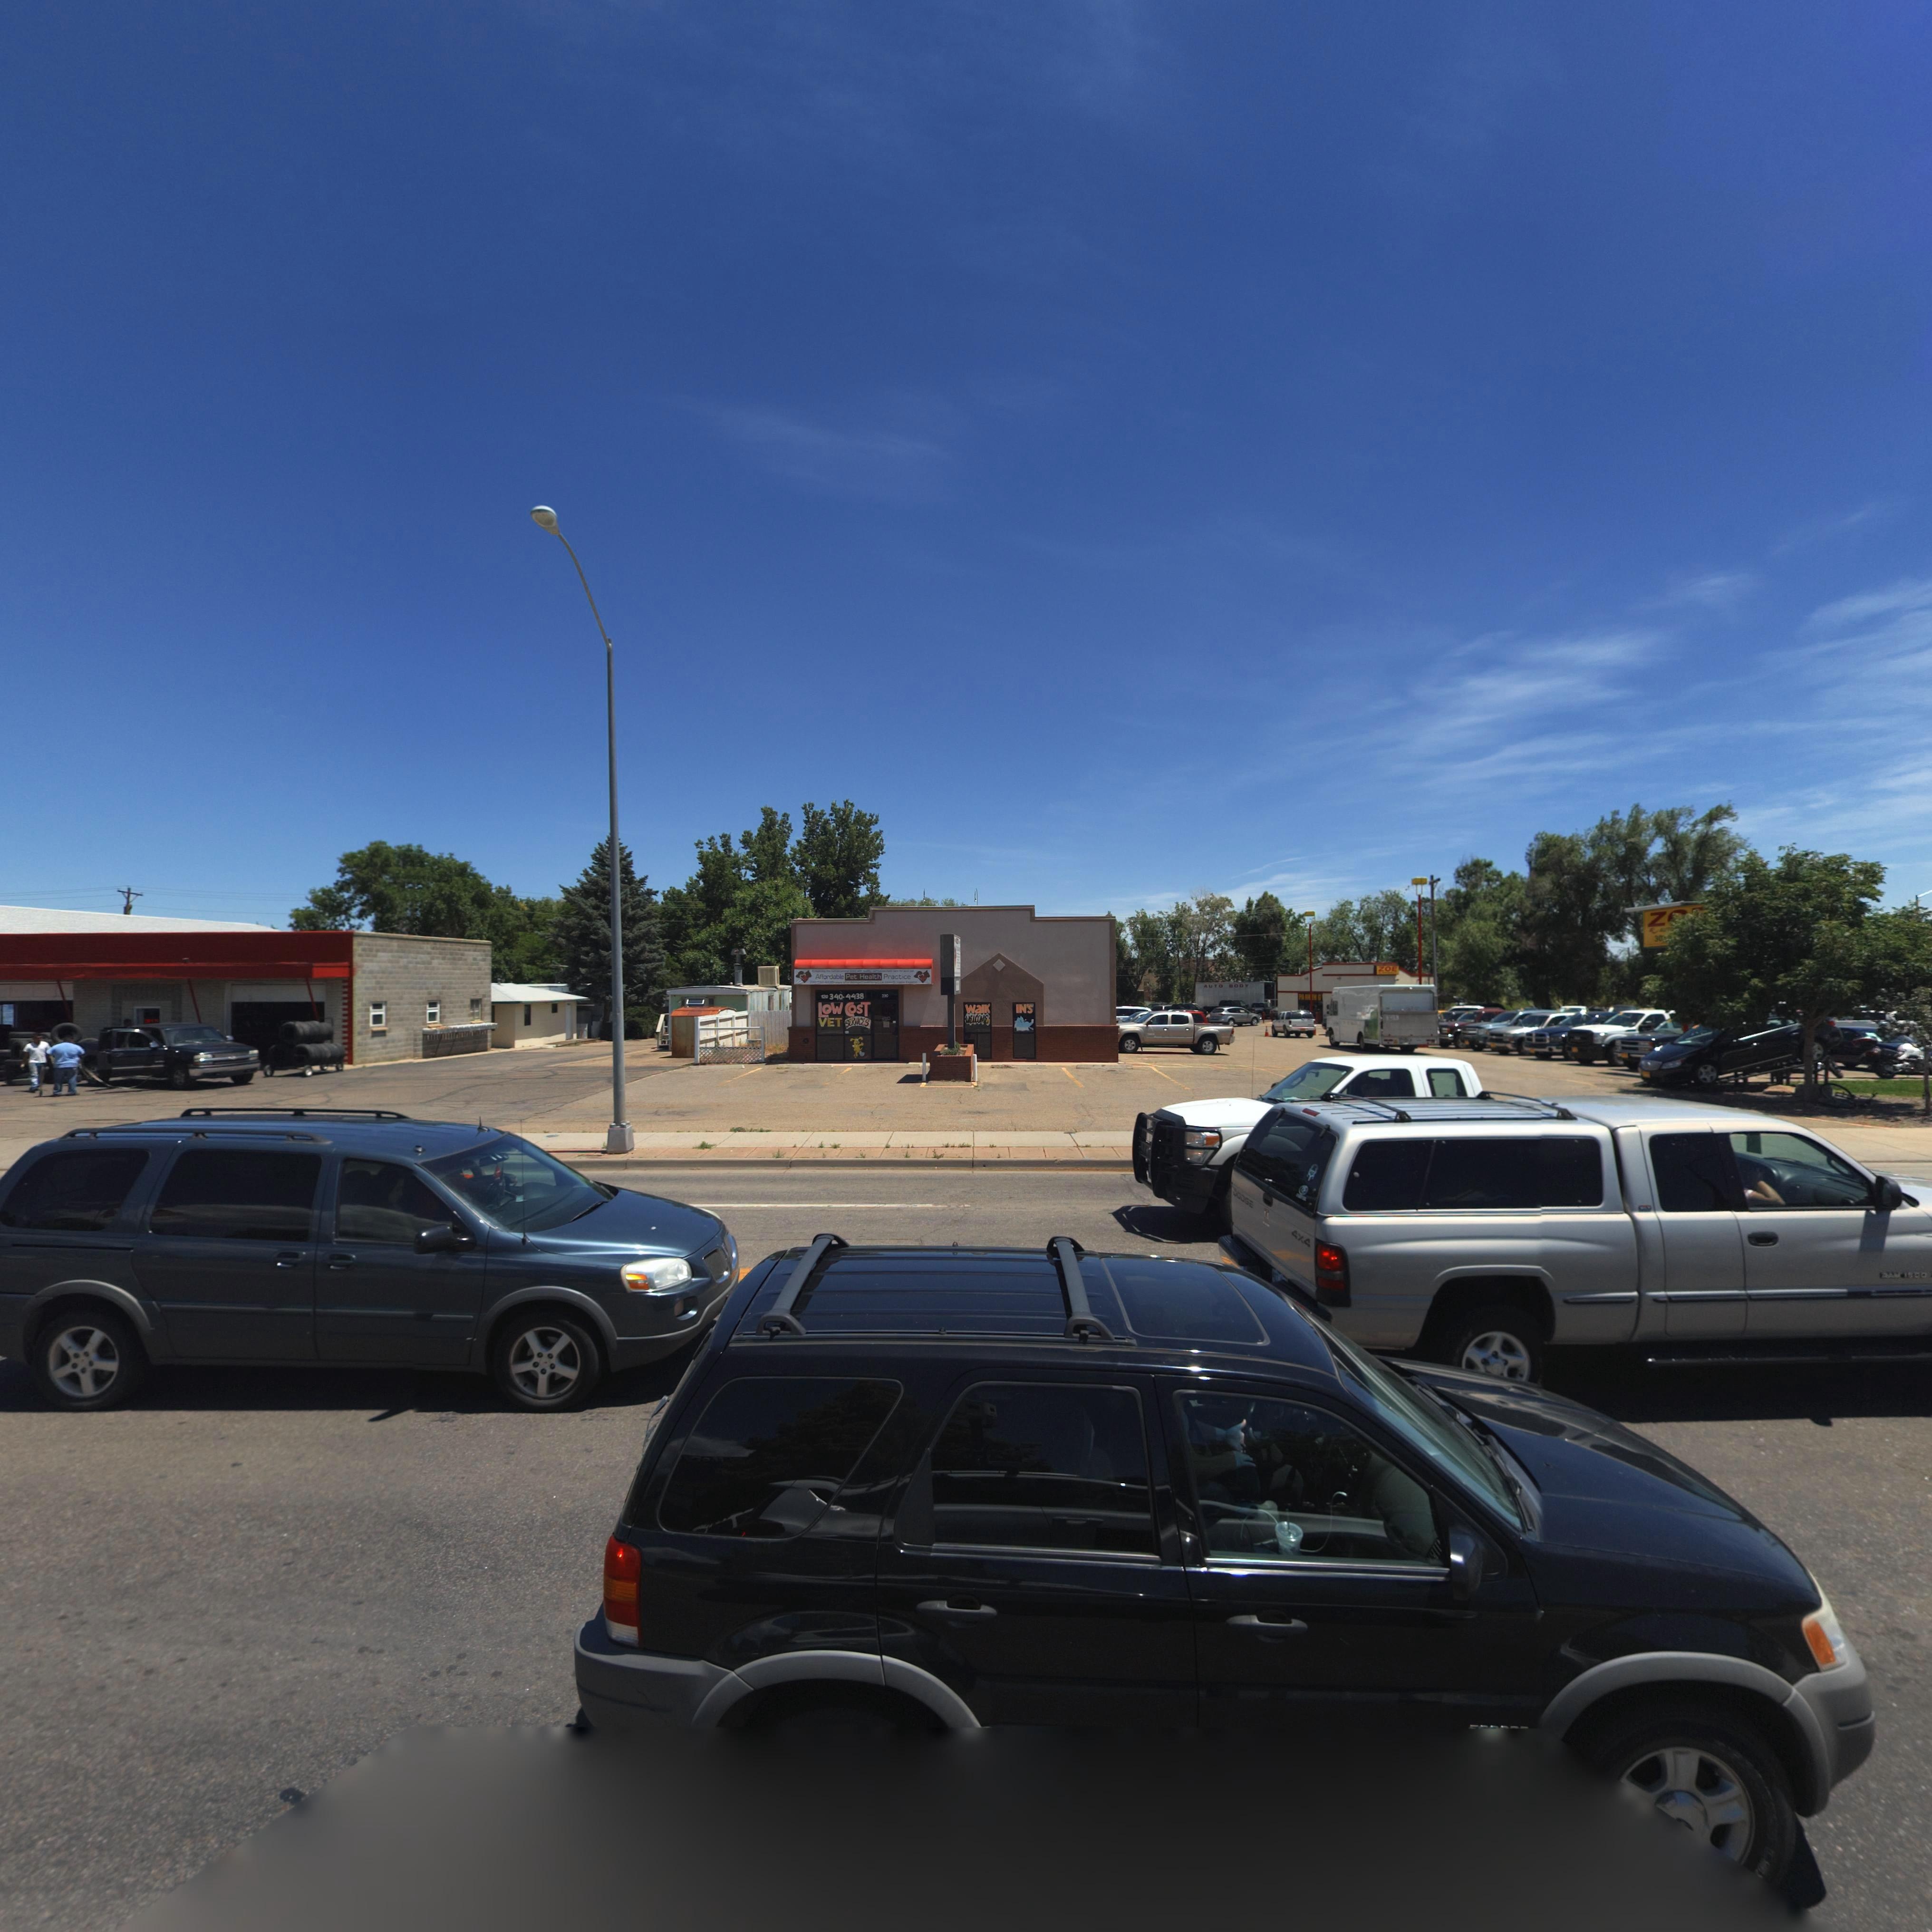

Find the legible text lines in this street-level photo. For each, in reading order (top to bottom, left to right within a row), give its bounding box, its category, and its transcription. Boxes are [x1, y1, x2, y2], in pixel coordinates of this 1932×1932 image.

[1646, 910, 1668, 927] BusinessName: Z
[1378, 966, 1398, 971] BusinessName: ZOE
[814, 973, 911, 979] BusinessName: Affordable Pet Health Practice
[881, 994, 889, 997] StreetNumber: 2*0